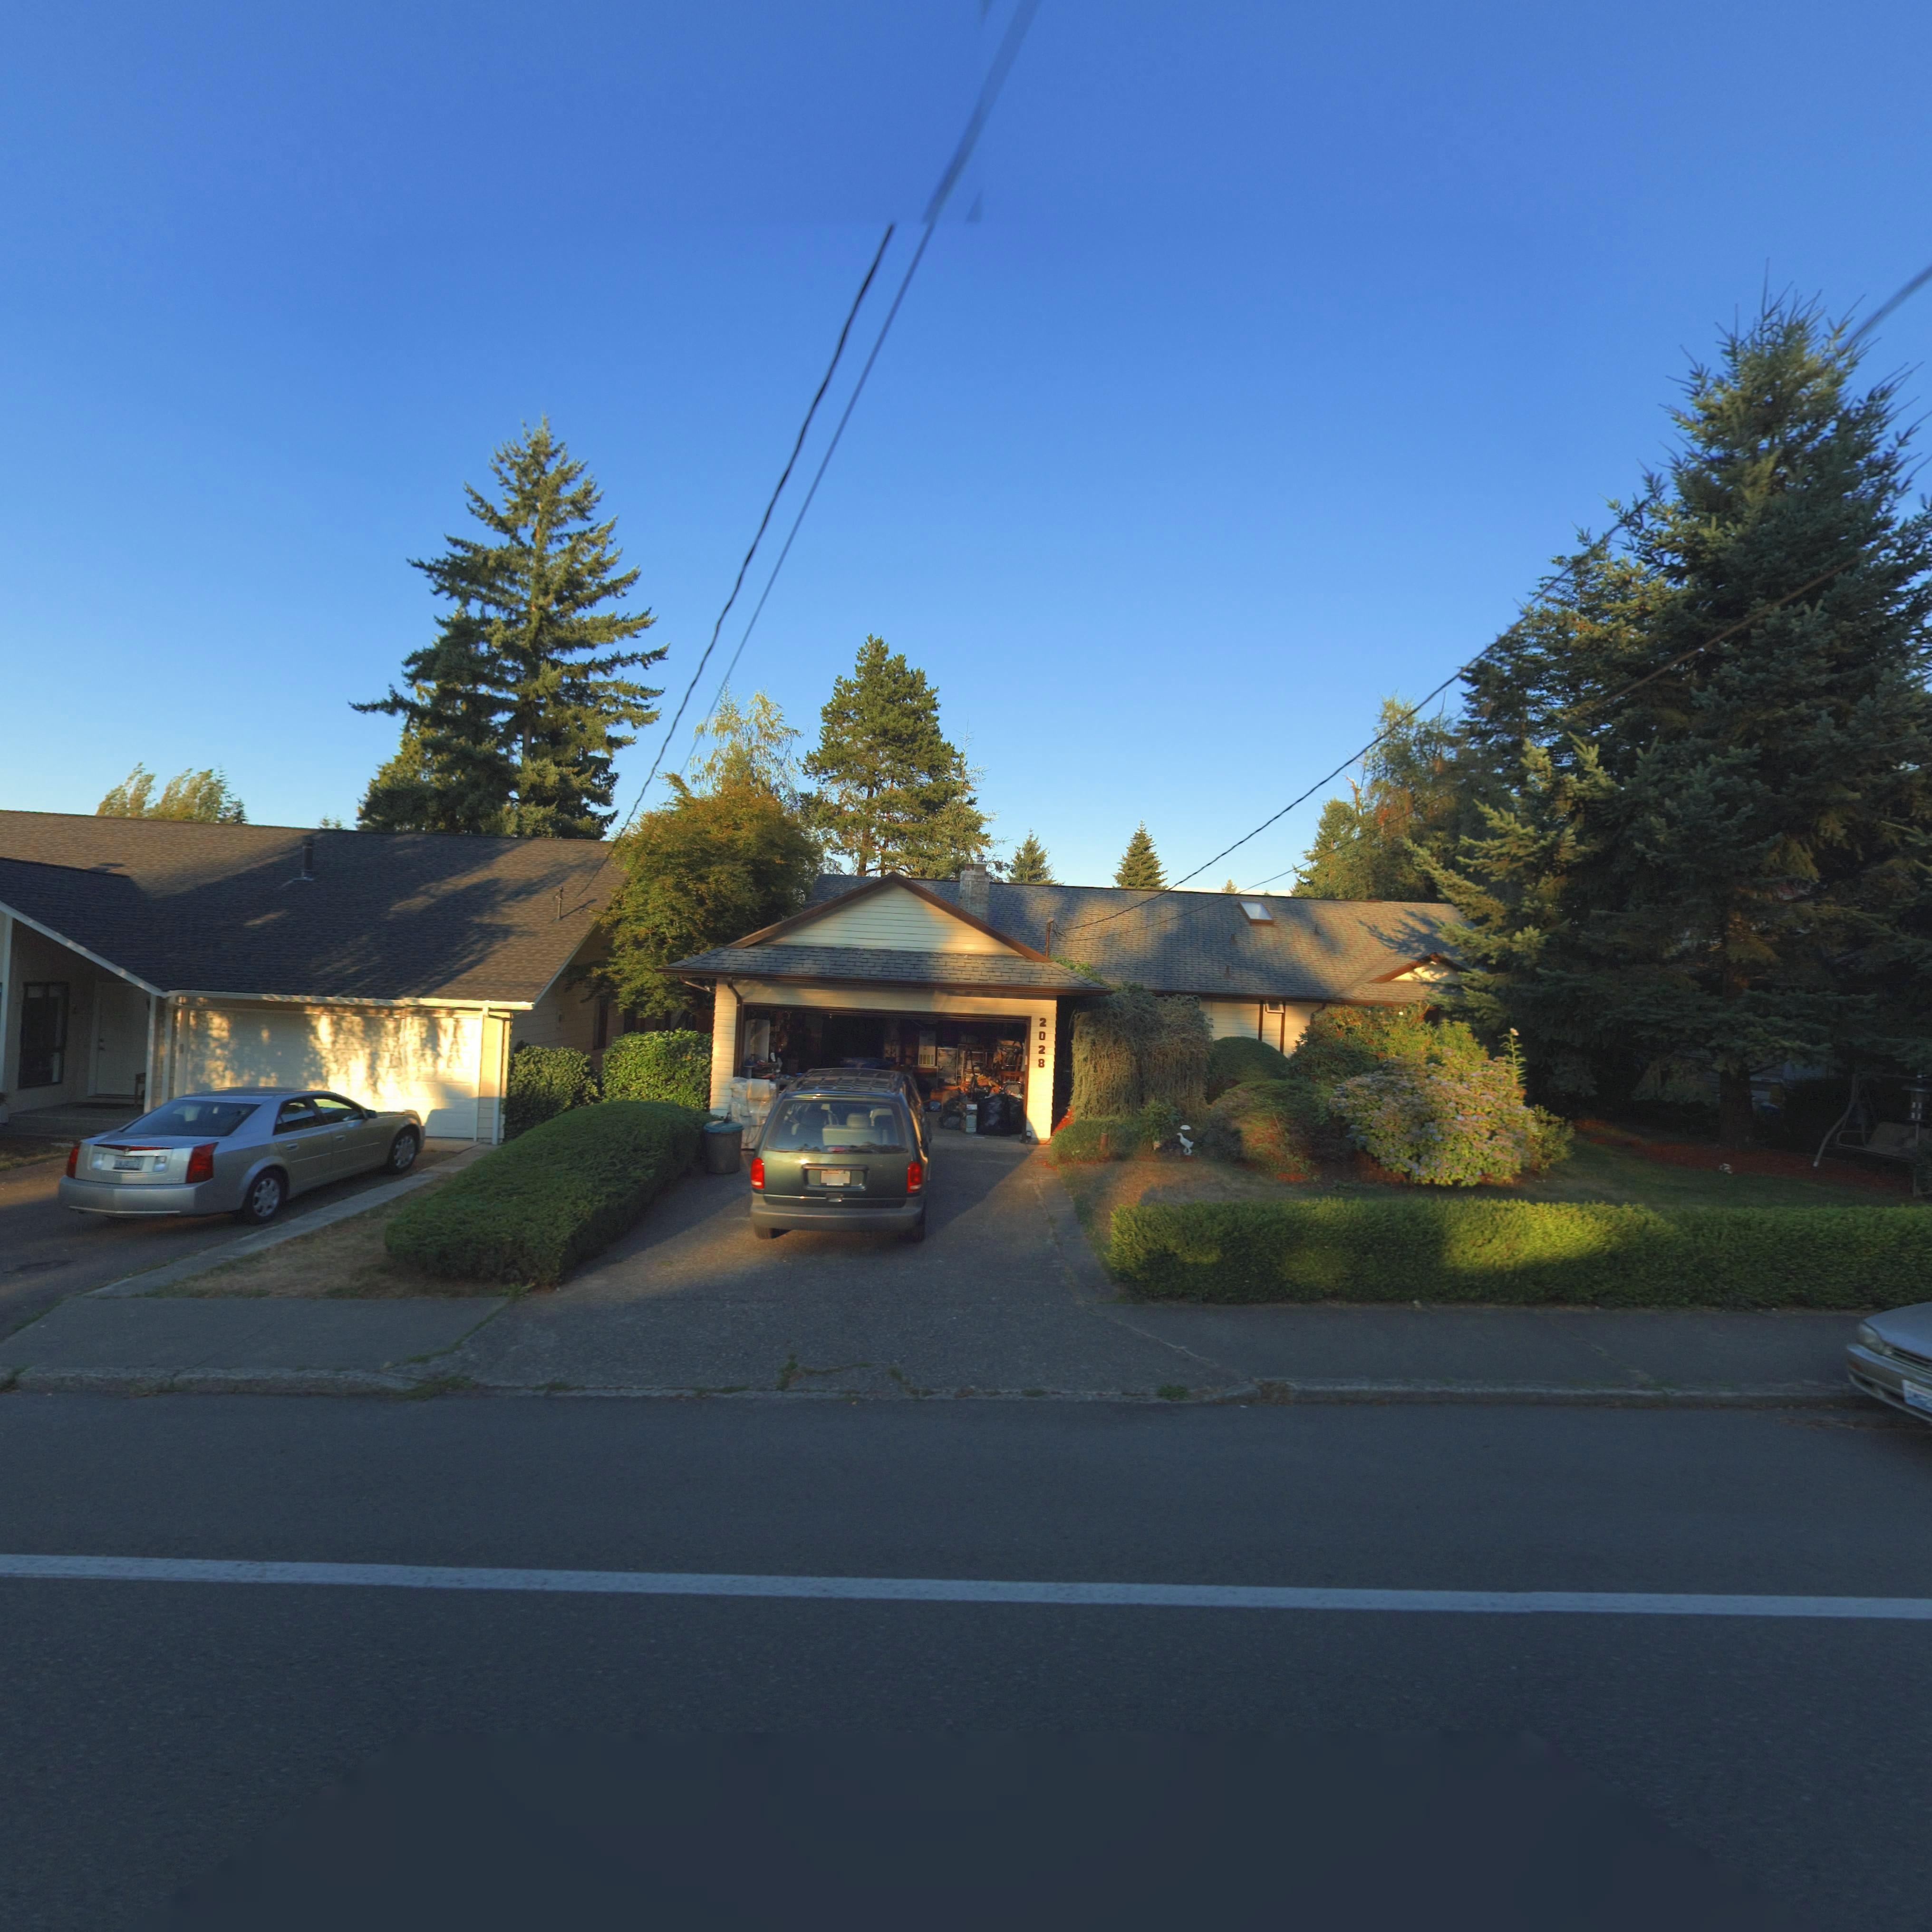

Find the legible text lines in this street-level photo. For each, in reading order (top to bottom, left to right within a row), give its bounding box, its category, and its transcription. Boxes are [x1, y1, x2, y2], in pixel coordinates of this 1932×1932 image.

[1038, 1017, 1046, 1069] StreetNumber: 2028